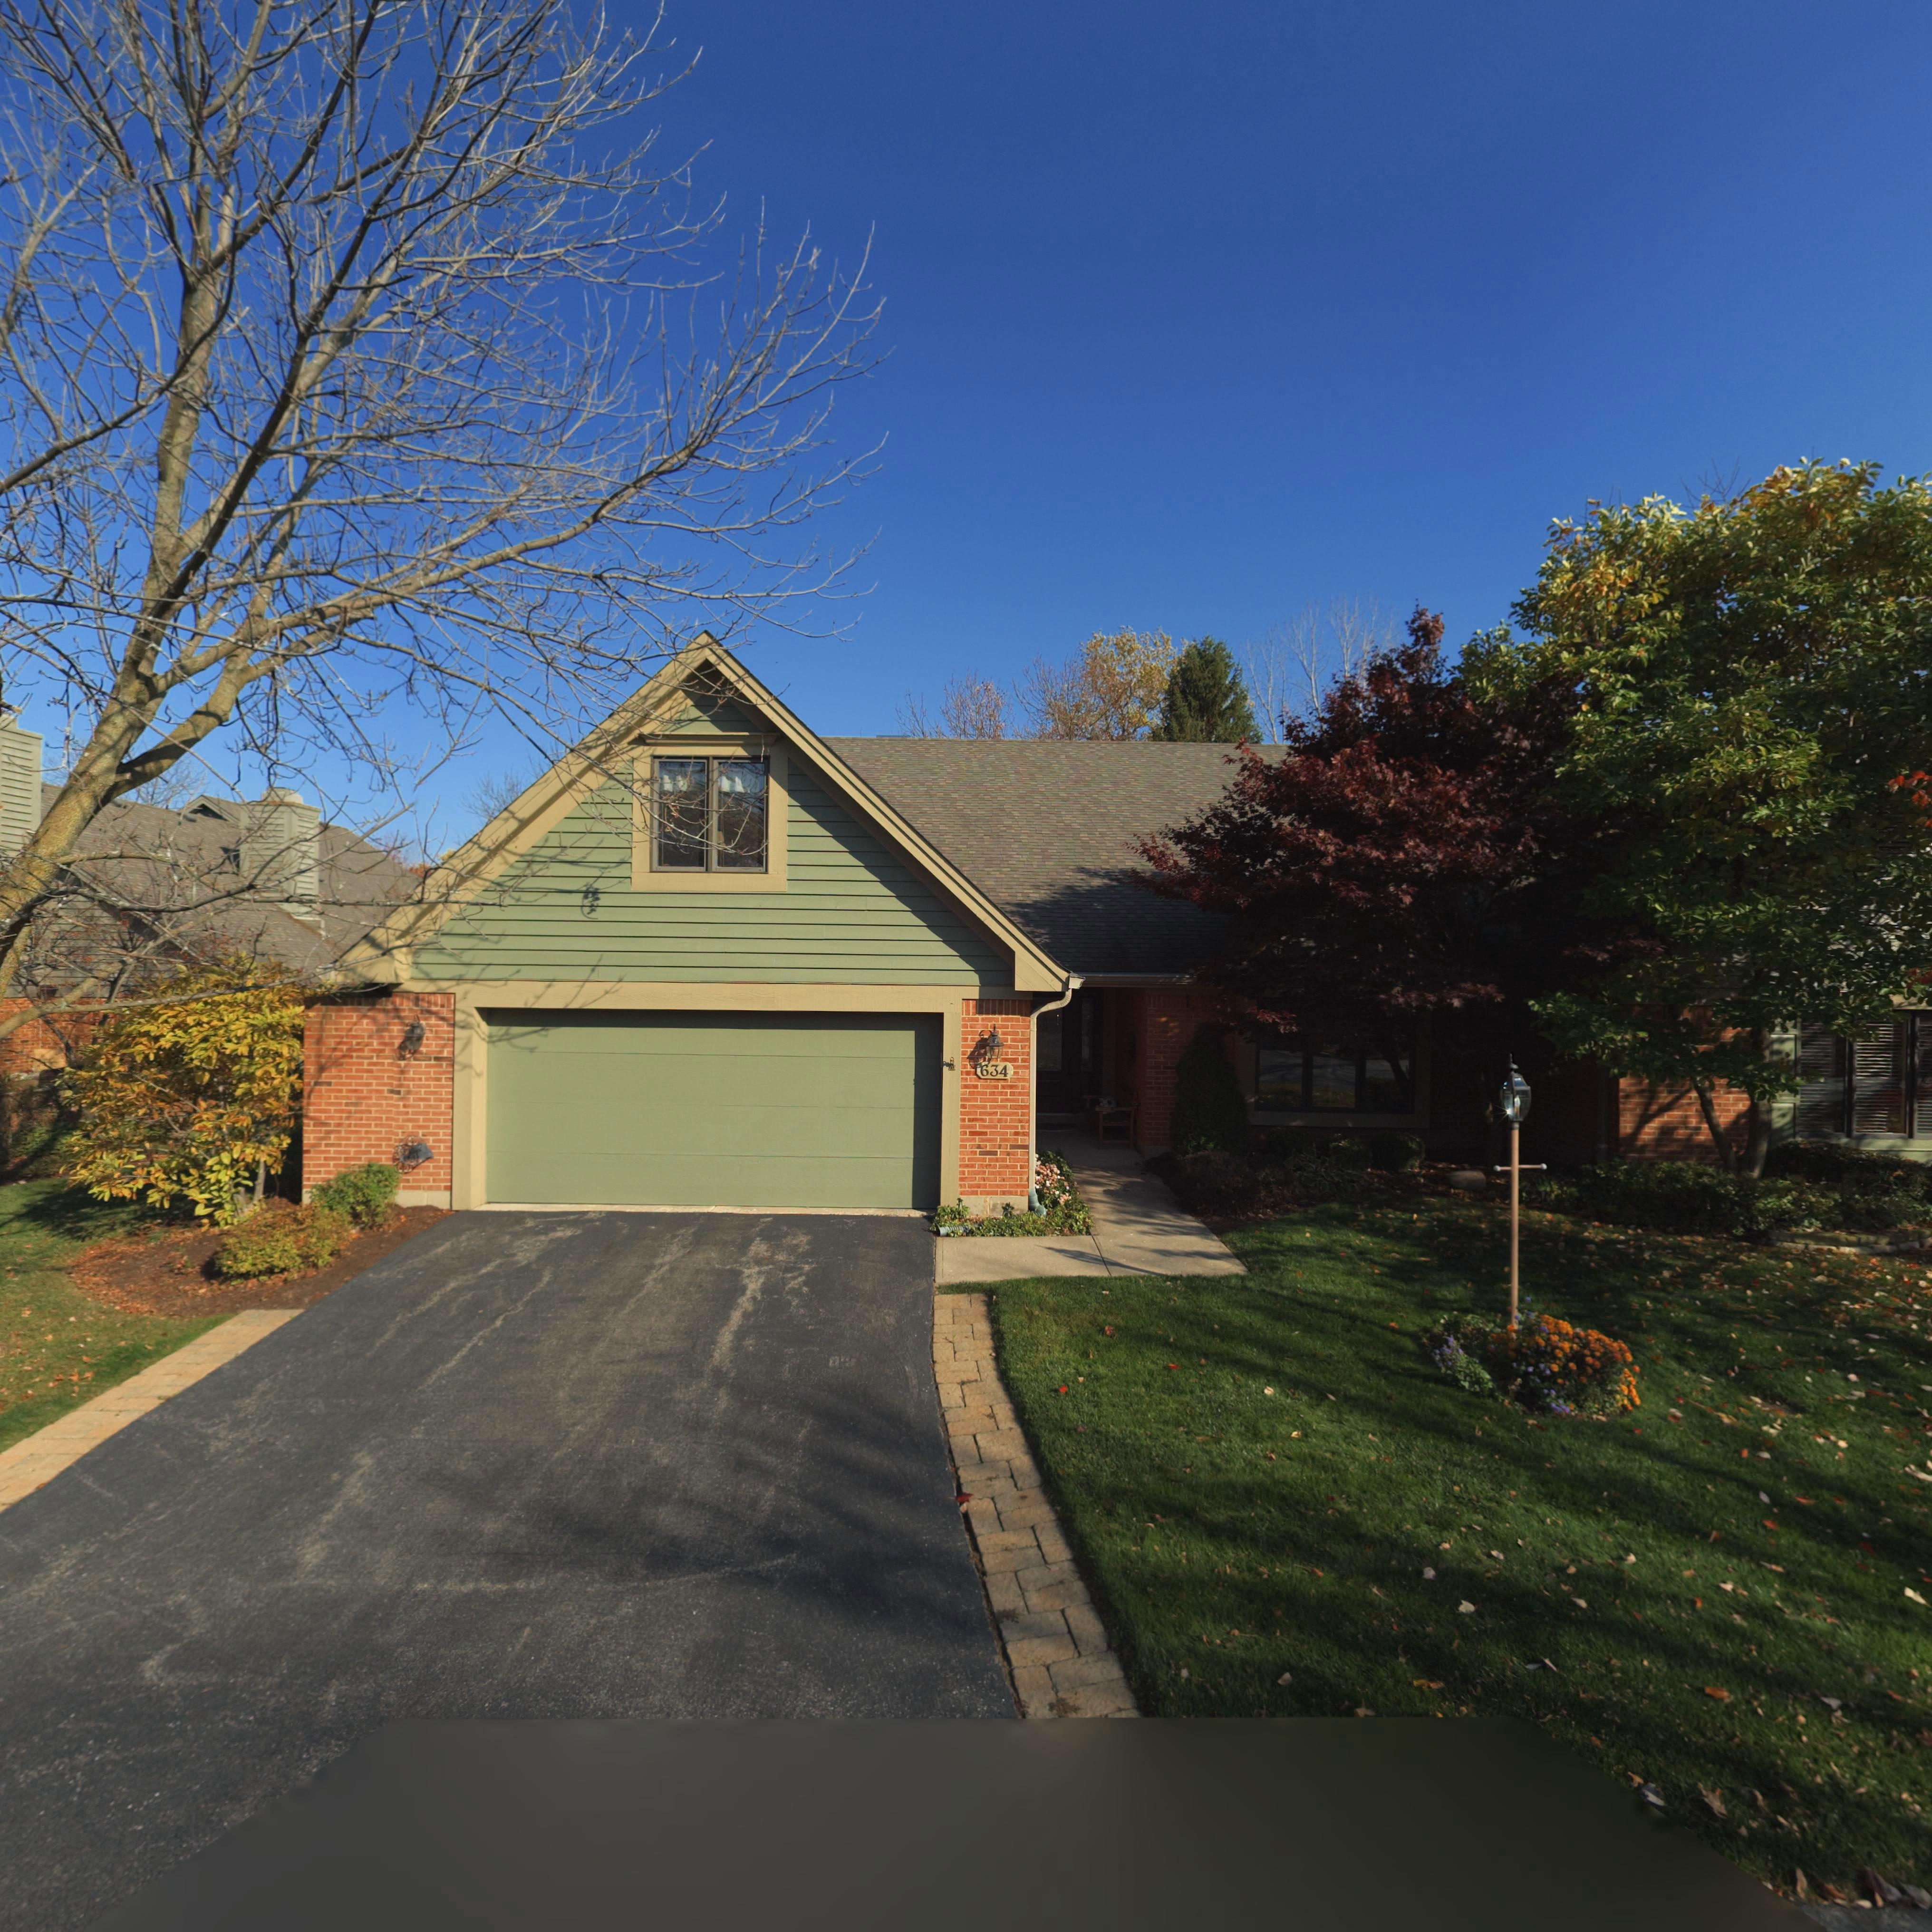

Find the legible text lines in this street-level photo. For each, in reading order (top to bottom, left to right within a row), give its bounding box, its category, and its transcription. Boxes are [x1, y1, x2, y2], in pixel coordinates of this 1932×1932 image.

[979, 1063, 1010, 1079] StreetNumber: 634